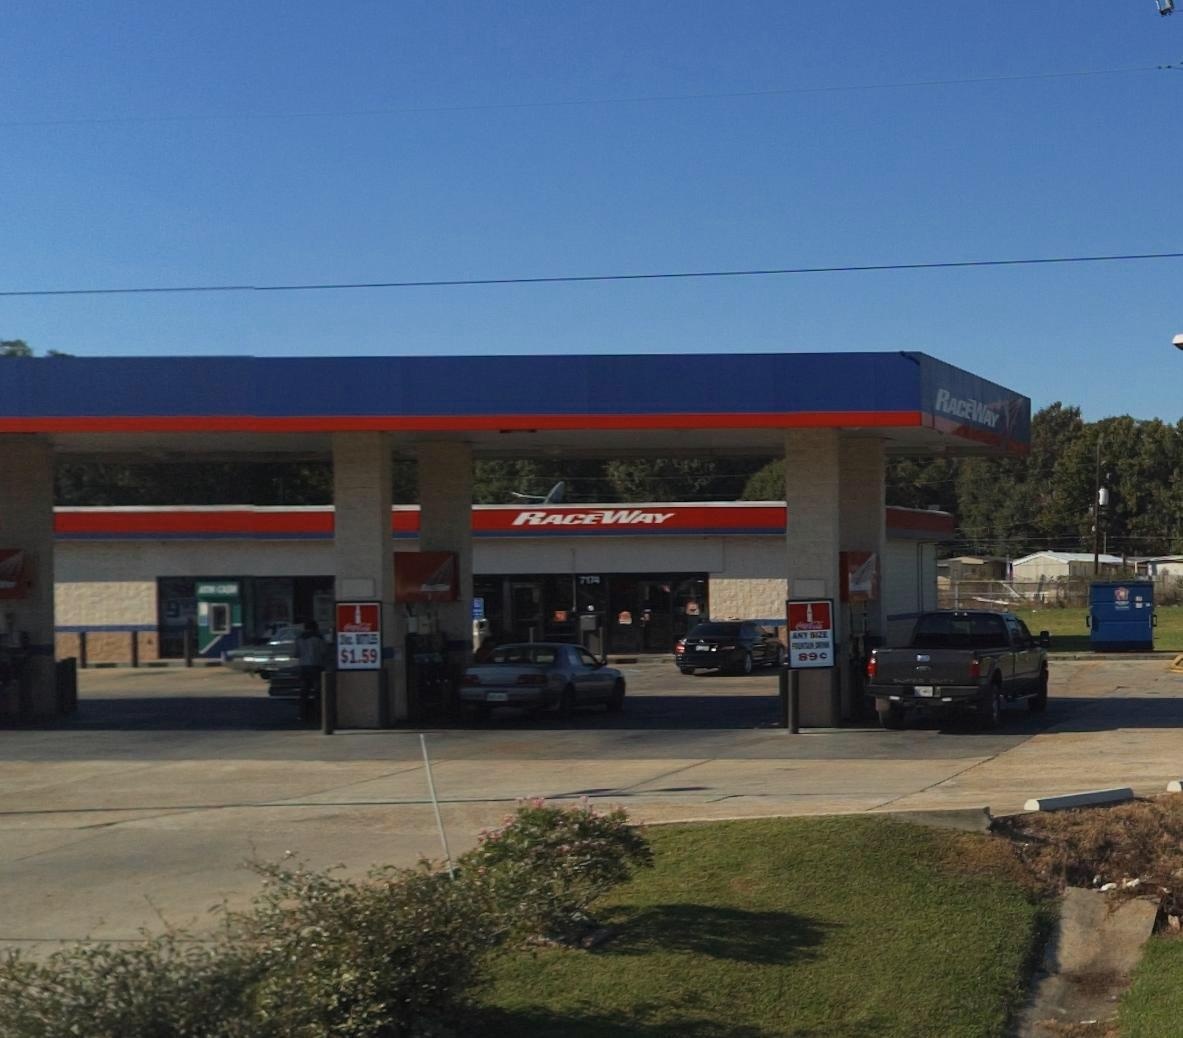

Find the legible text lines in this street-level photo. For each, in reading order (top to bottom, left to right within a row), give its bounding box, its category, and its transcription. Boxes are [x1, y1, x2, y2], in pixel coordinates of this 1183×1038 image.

[932, 384, 1003, 432] BusinessName: RACEWAY
[509, 508, 678, 526] BusinessName: RACEWAY
[348, 646, 380, 666] None: 1.59
[796, 650, 831, 663] None: 89*